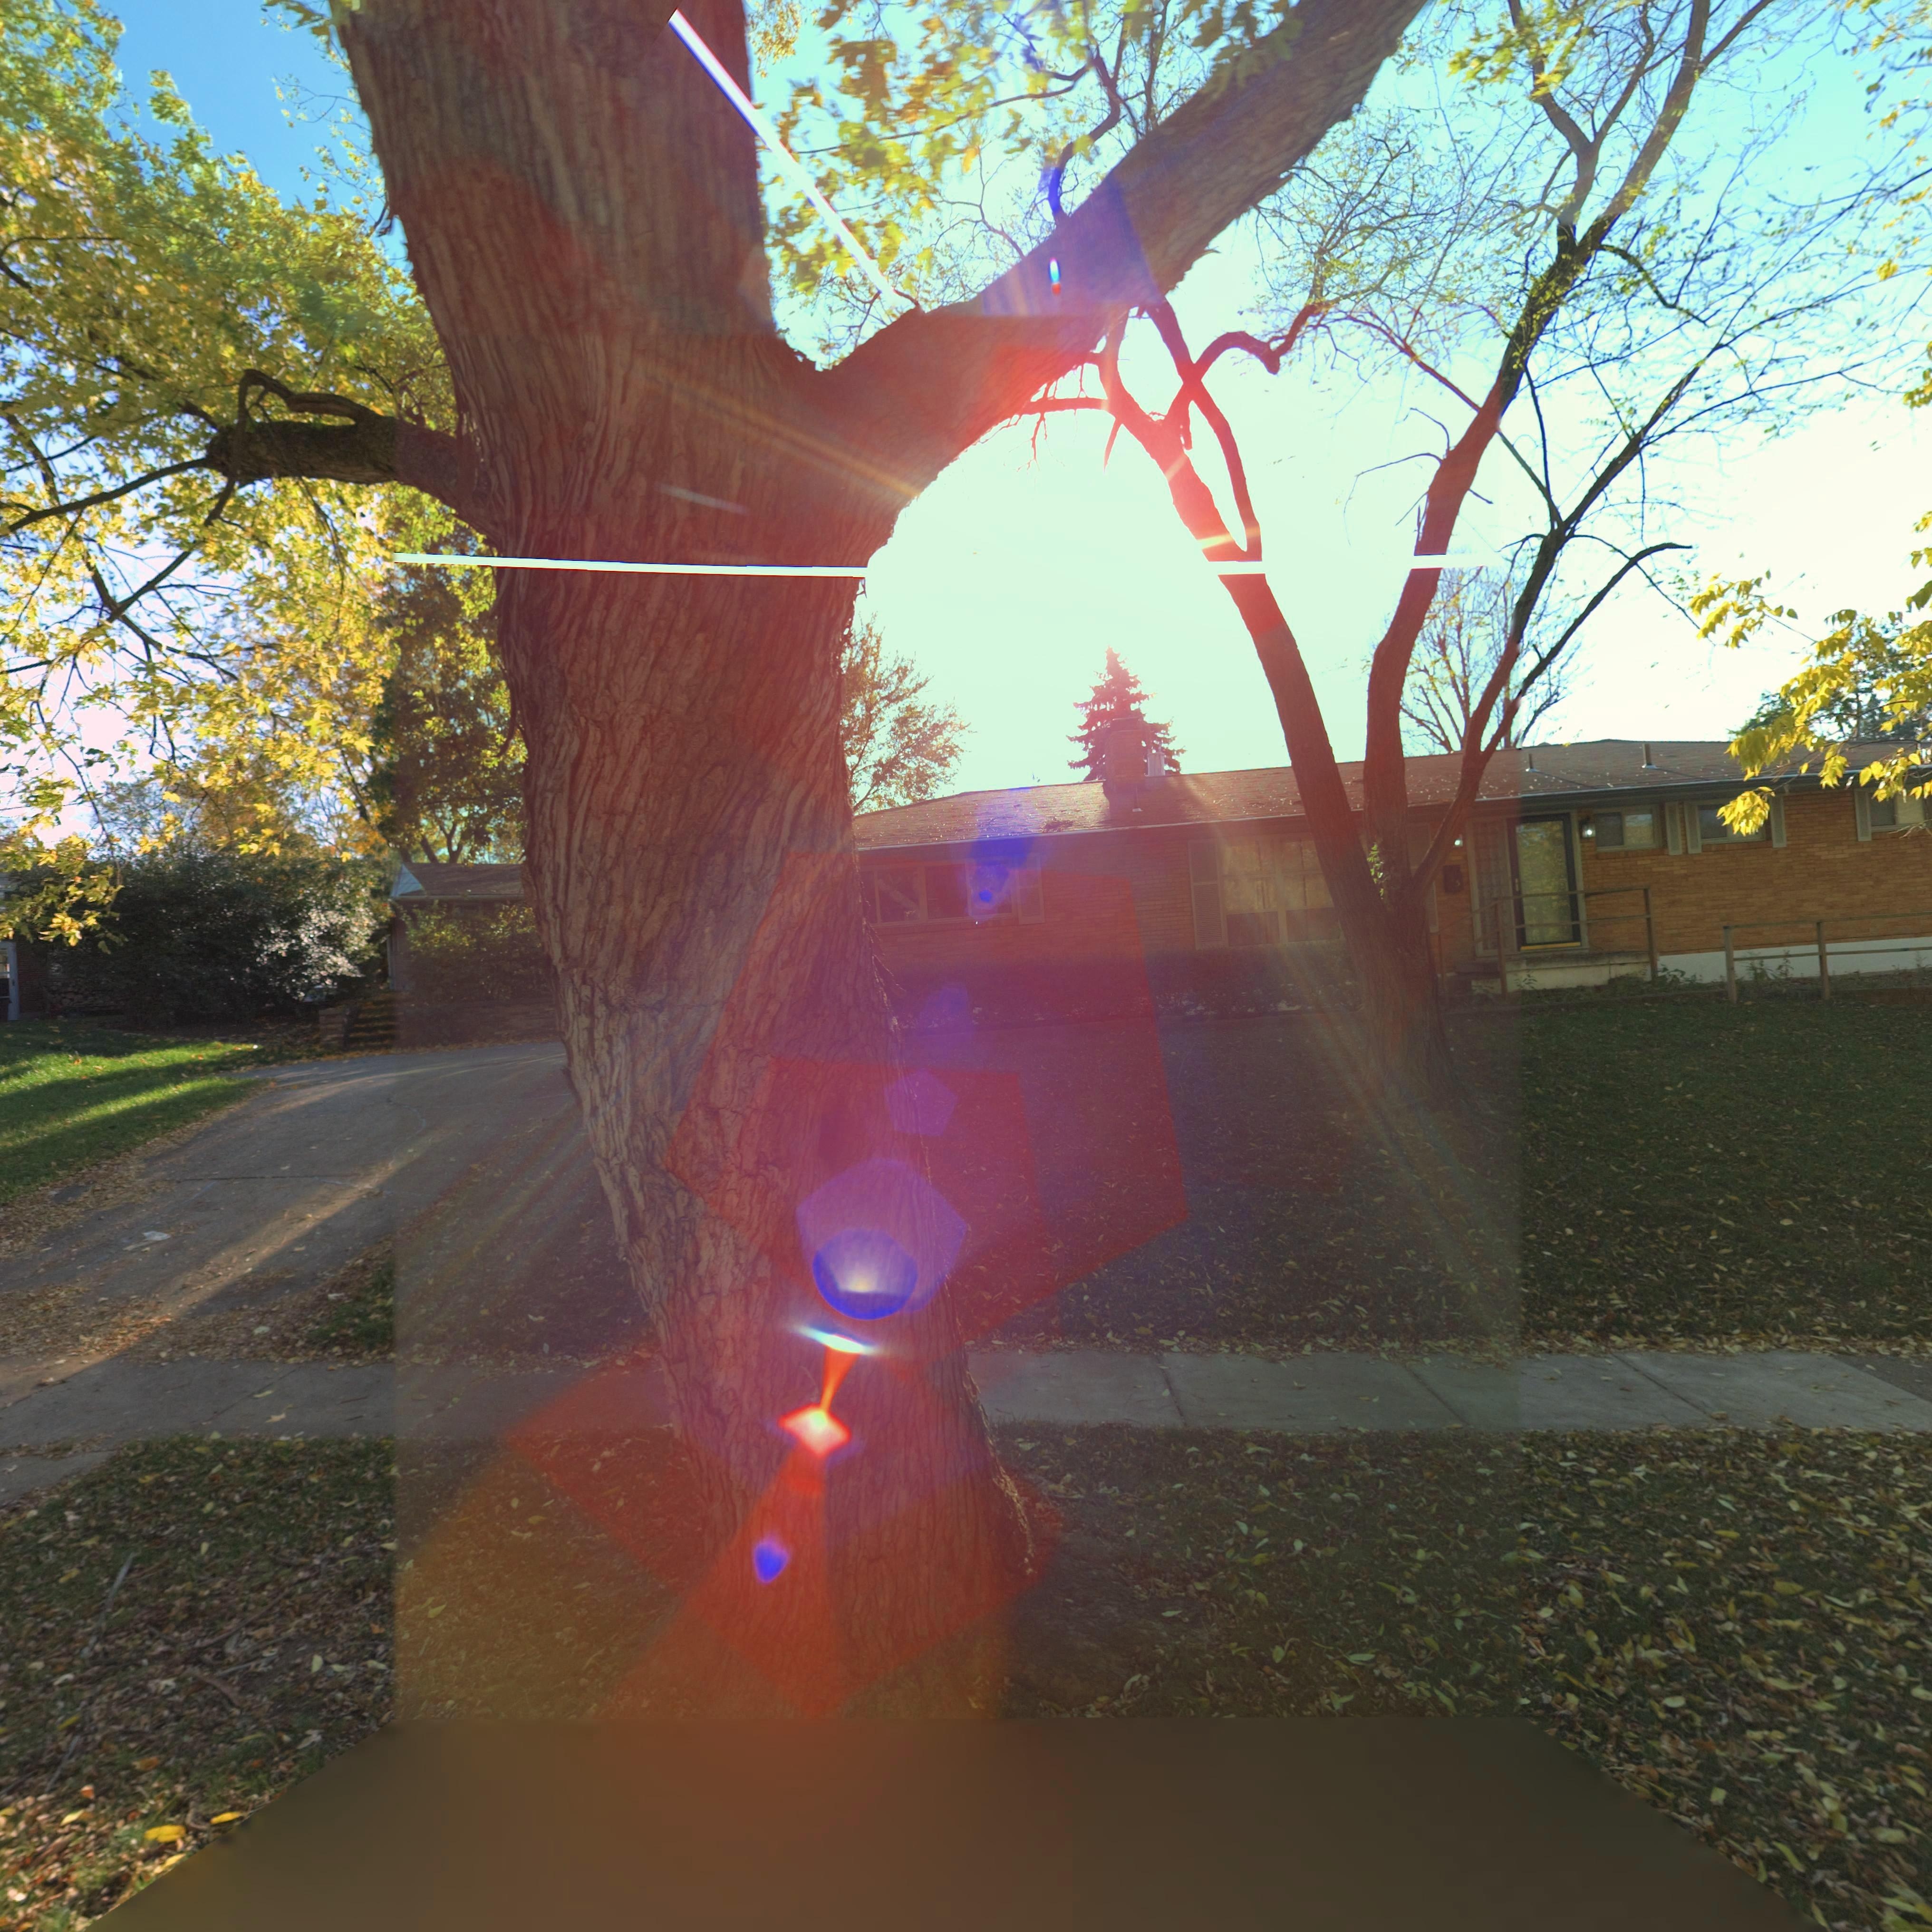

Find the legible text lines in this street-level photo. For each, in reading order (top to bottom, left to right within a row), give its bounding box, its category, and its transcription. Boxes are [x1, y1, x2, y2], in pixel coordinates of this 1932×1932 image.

[1450, 876, 1461, 888] StreetNumber: 45